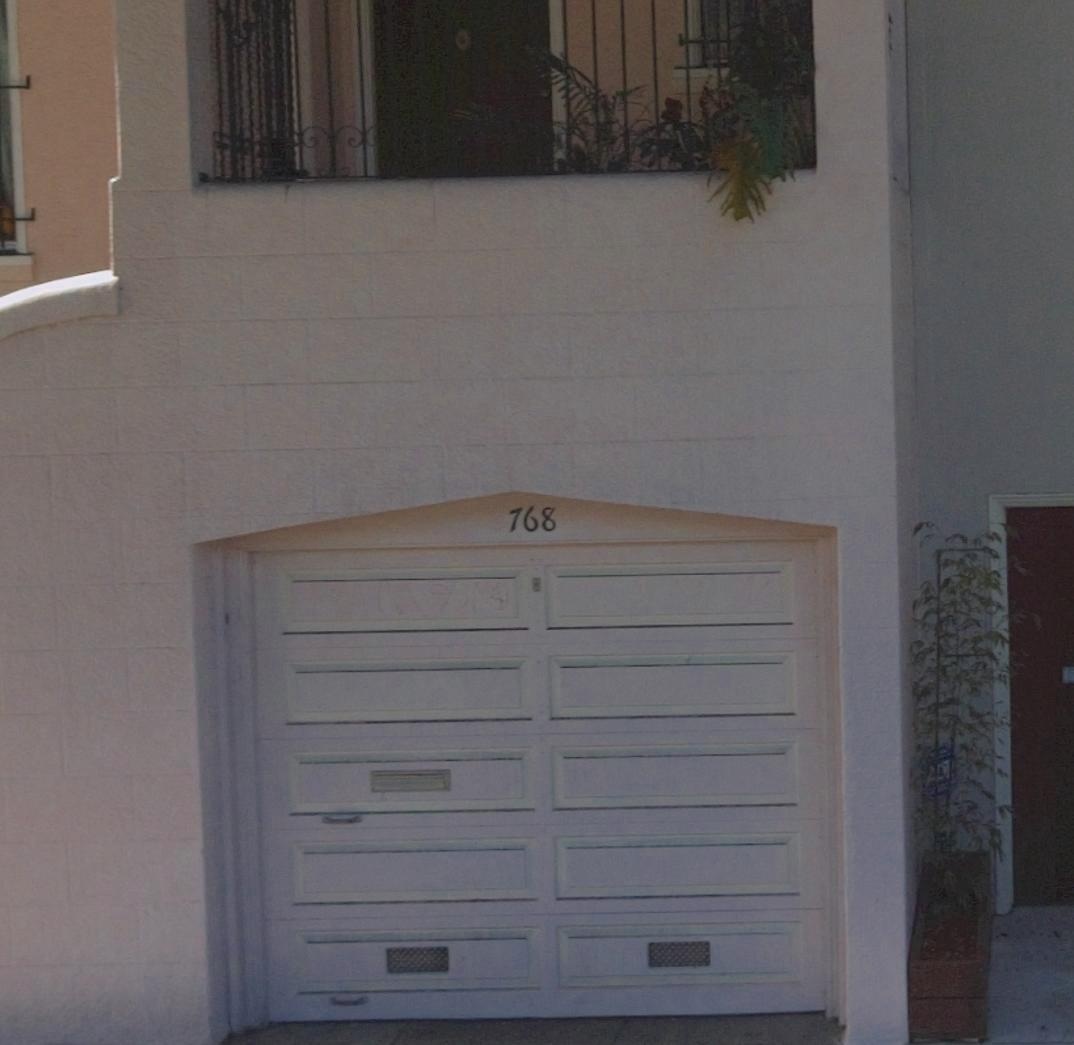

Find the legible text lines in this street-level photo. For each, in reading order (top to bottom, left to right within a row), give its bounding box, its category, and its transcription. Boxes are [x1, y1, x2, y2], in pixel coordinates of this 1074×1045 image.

[508, 504, 556, 533] StreetNumber: 768